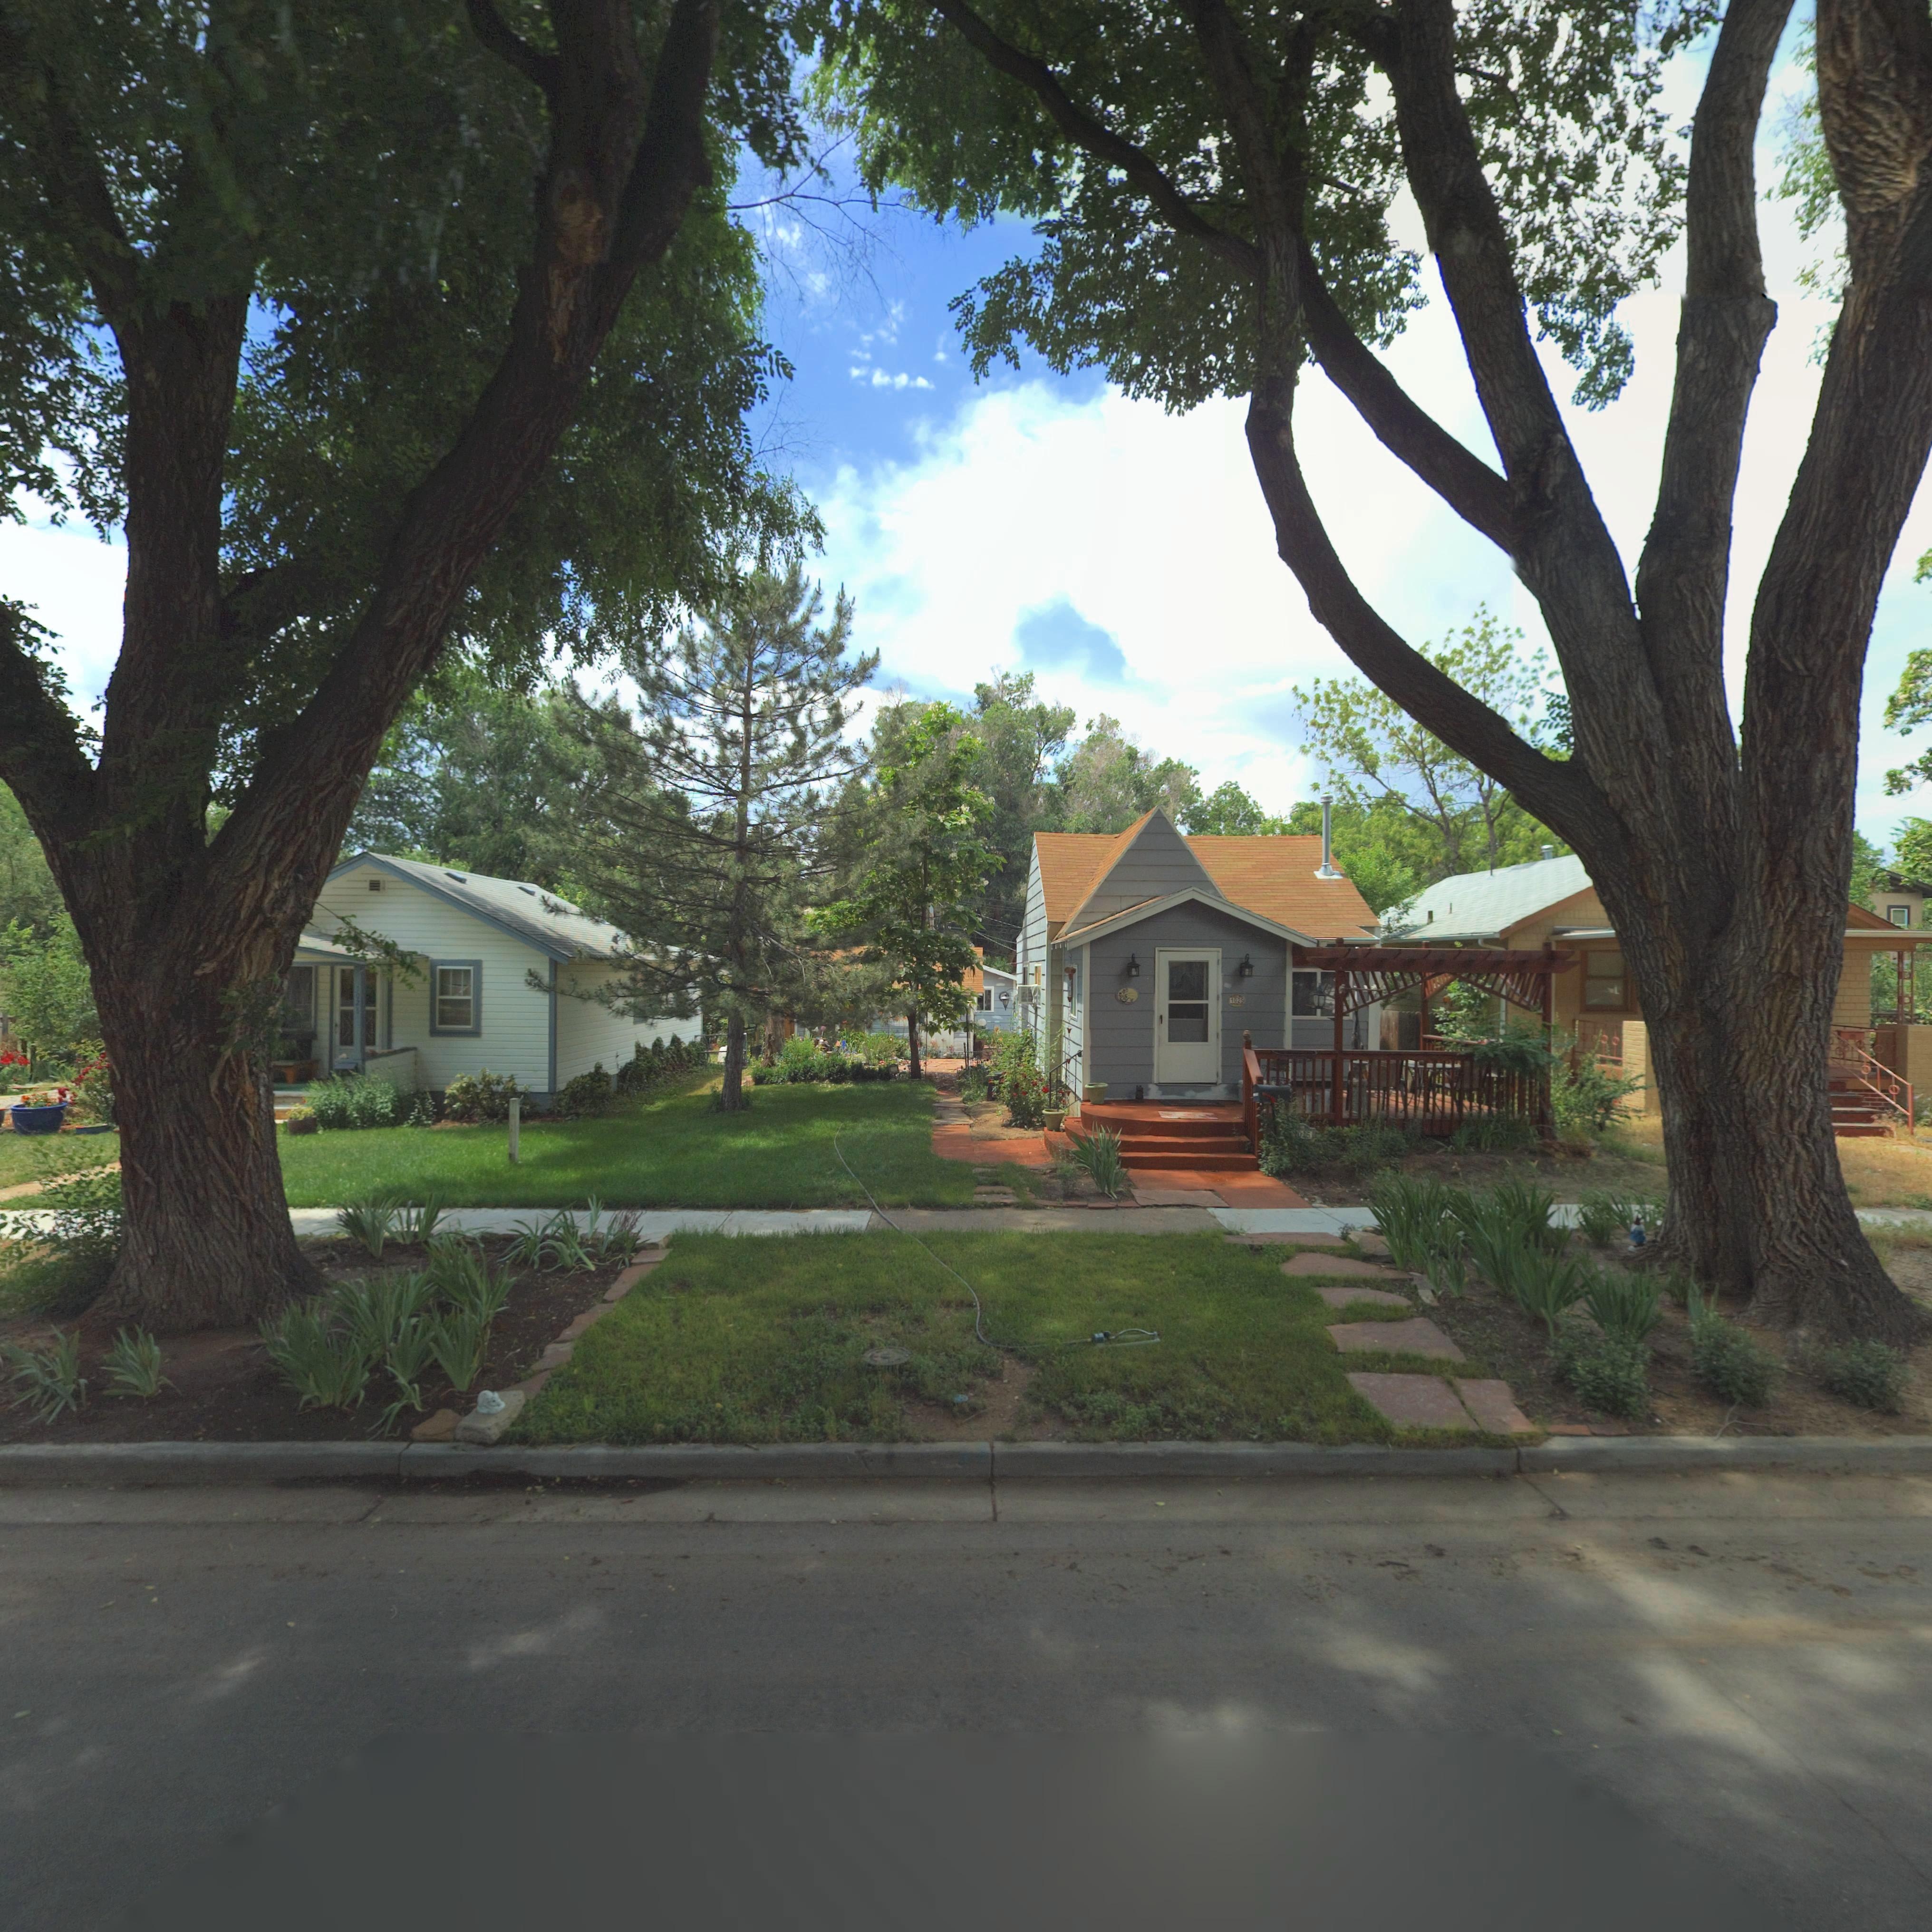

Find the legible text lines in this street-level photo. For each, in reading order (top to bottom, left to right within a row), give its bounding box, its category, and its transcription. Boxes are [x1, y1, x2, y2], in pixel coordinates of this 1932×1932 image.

[355, 984, 360, 1014] StreetNumber: 1023
[1231, 997, 1244, 1003] StreetNumber: 1025